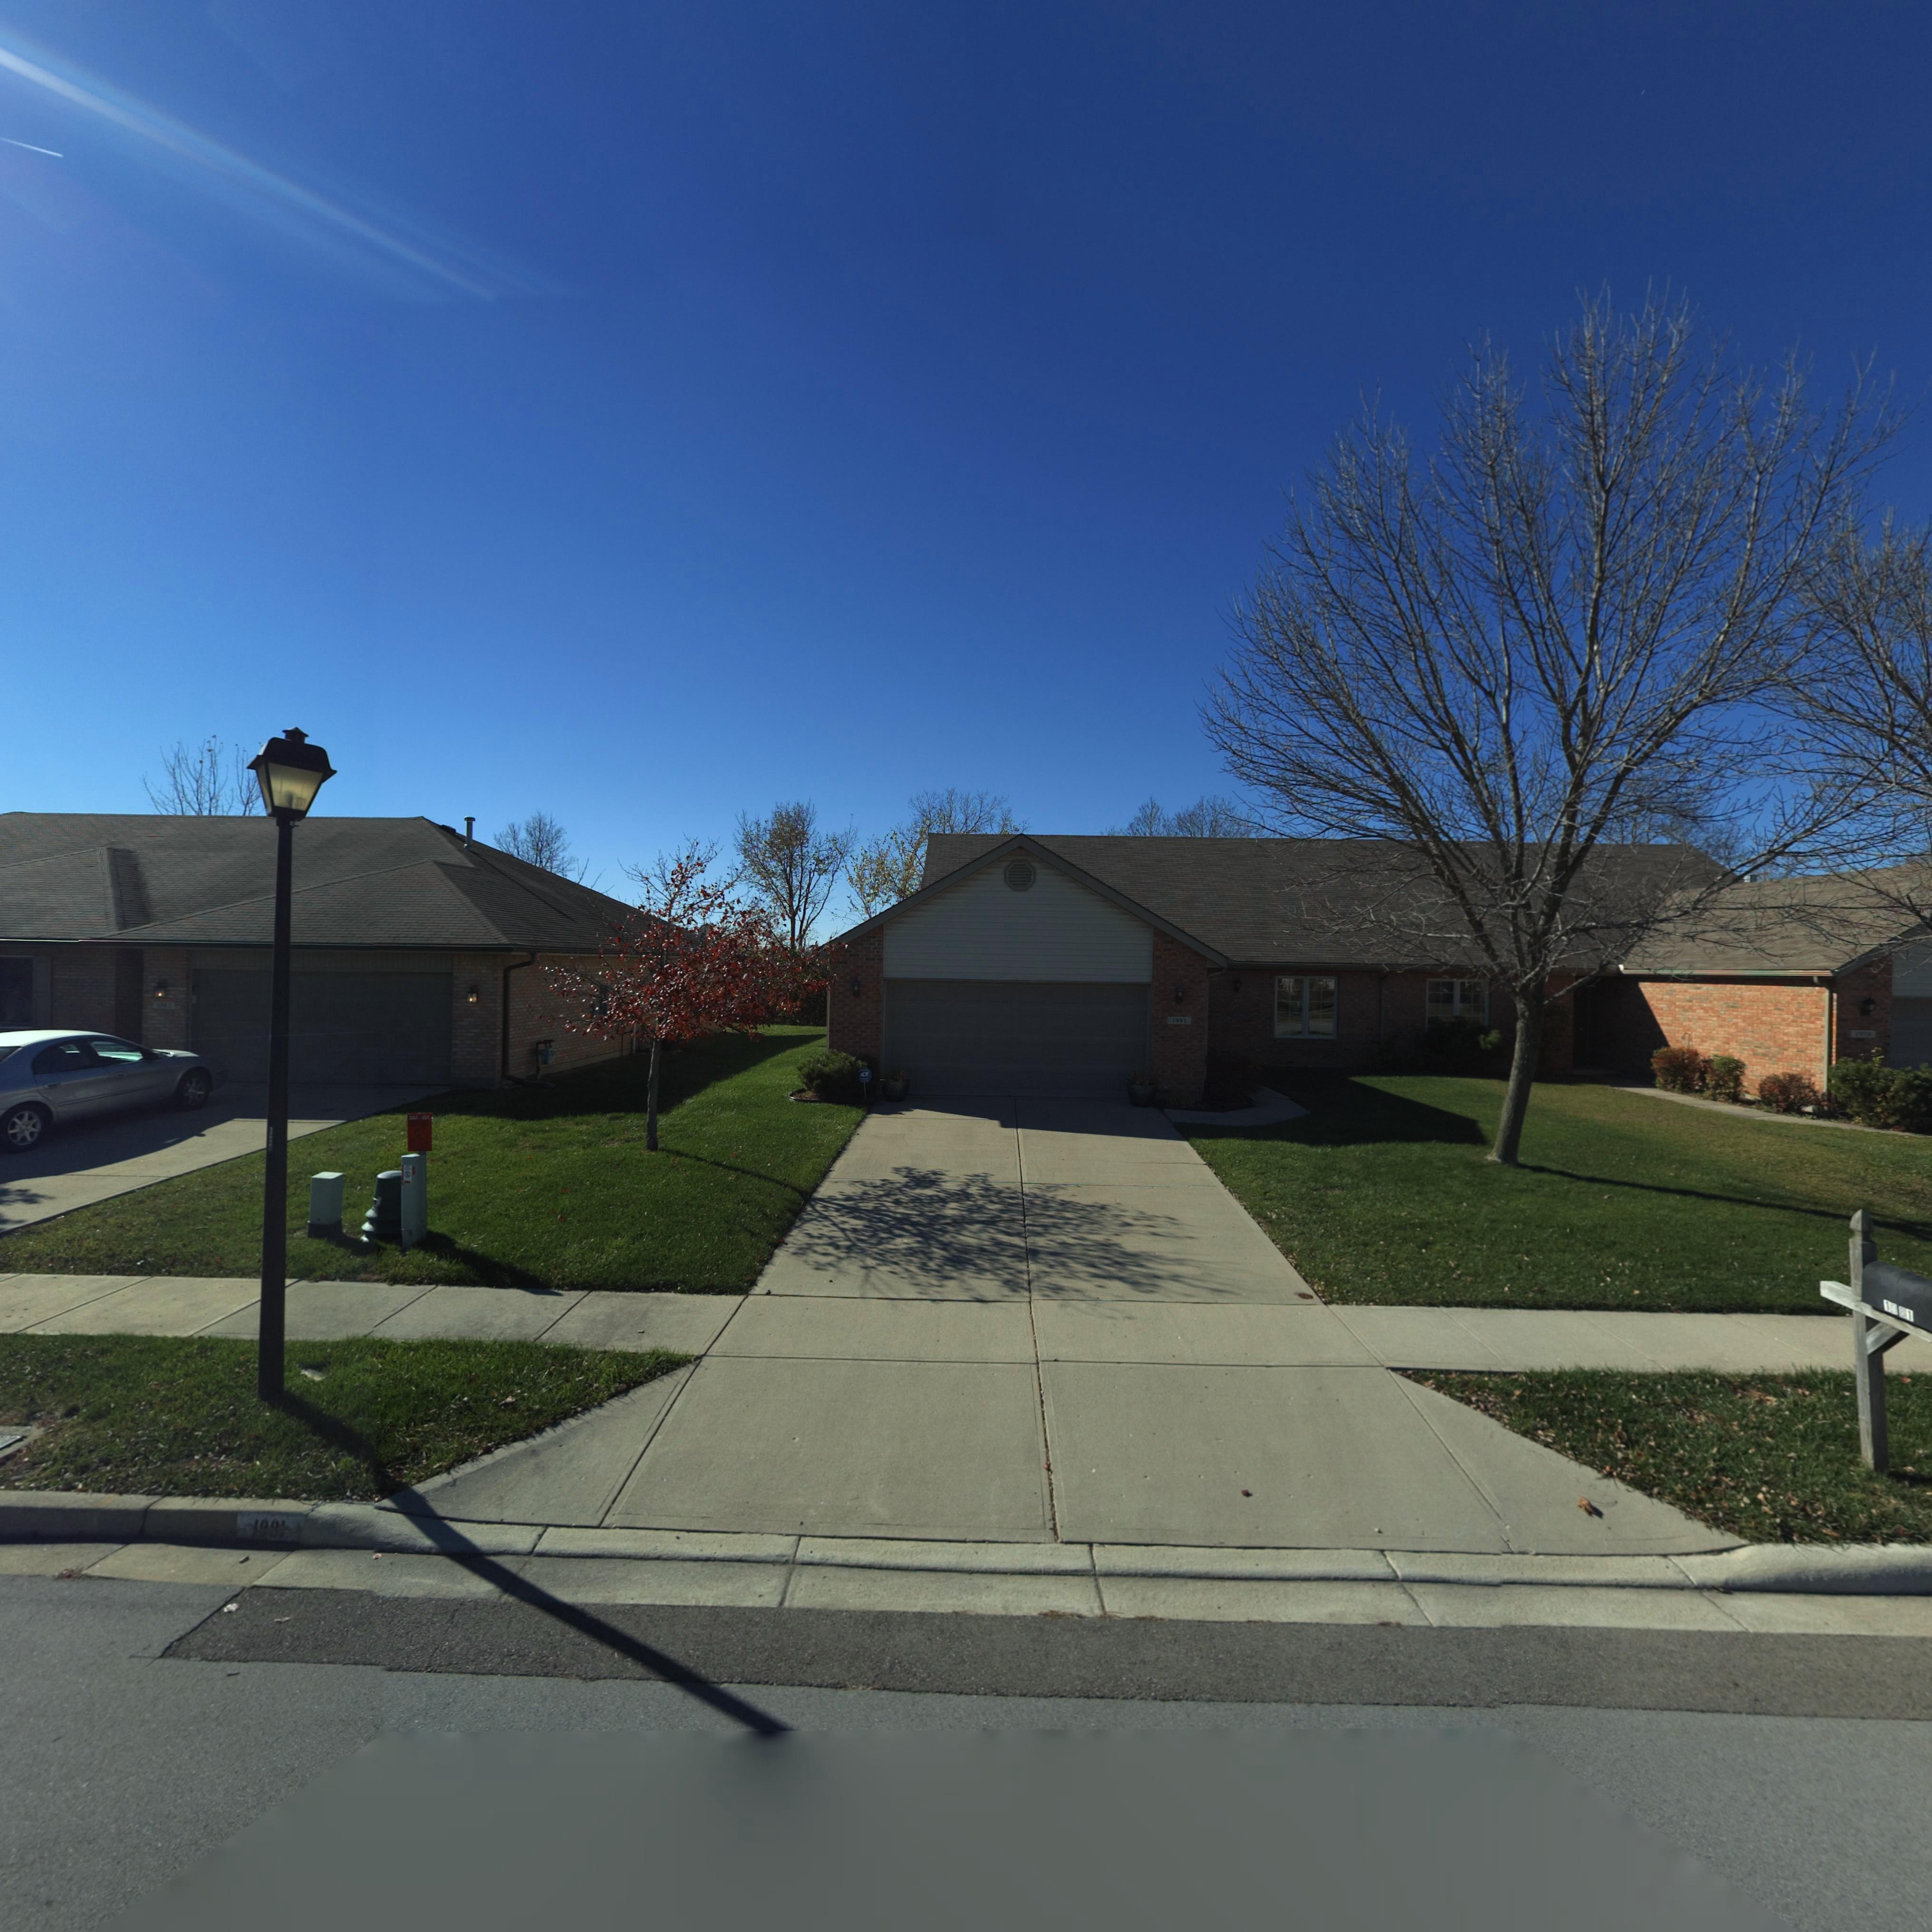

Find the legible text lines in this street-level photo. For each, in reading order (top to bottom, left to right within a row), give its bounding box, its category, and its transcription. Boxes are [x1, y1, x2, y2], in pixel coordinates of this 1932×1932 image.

[1172, 1017, 1187, 1024] StreetNumber: 1981
[1884, 1300, 1913, 1323] StreetNumber: 1**1
[250, 1516, 288, 1541] StreetNumber: 1***